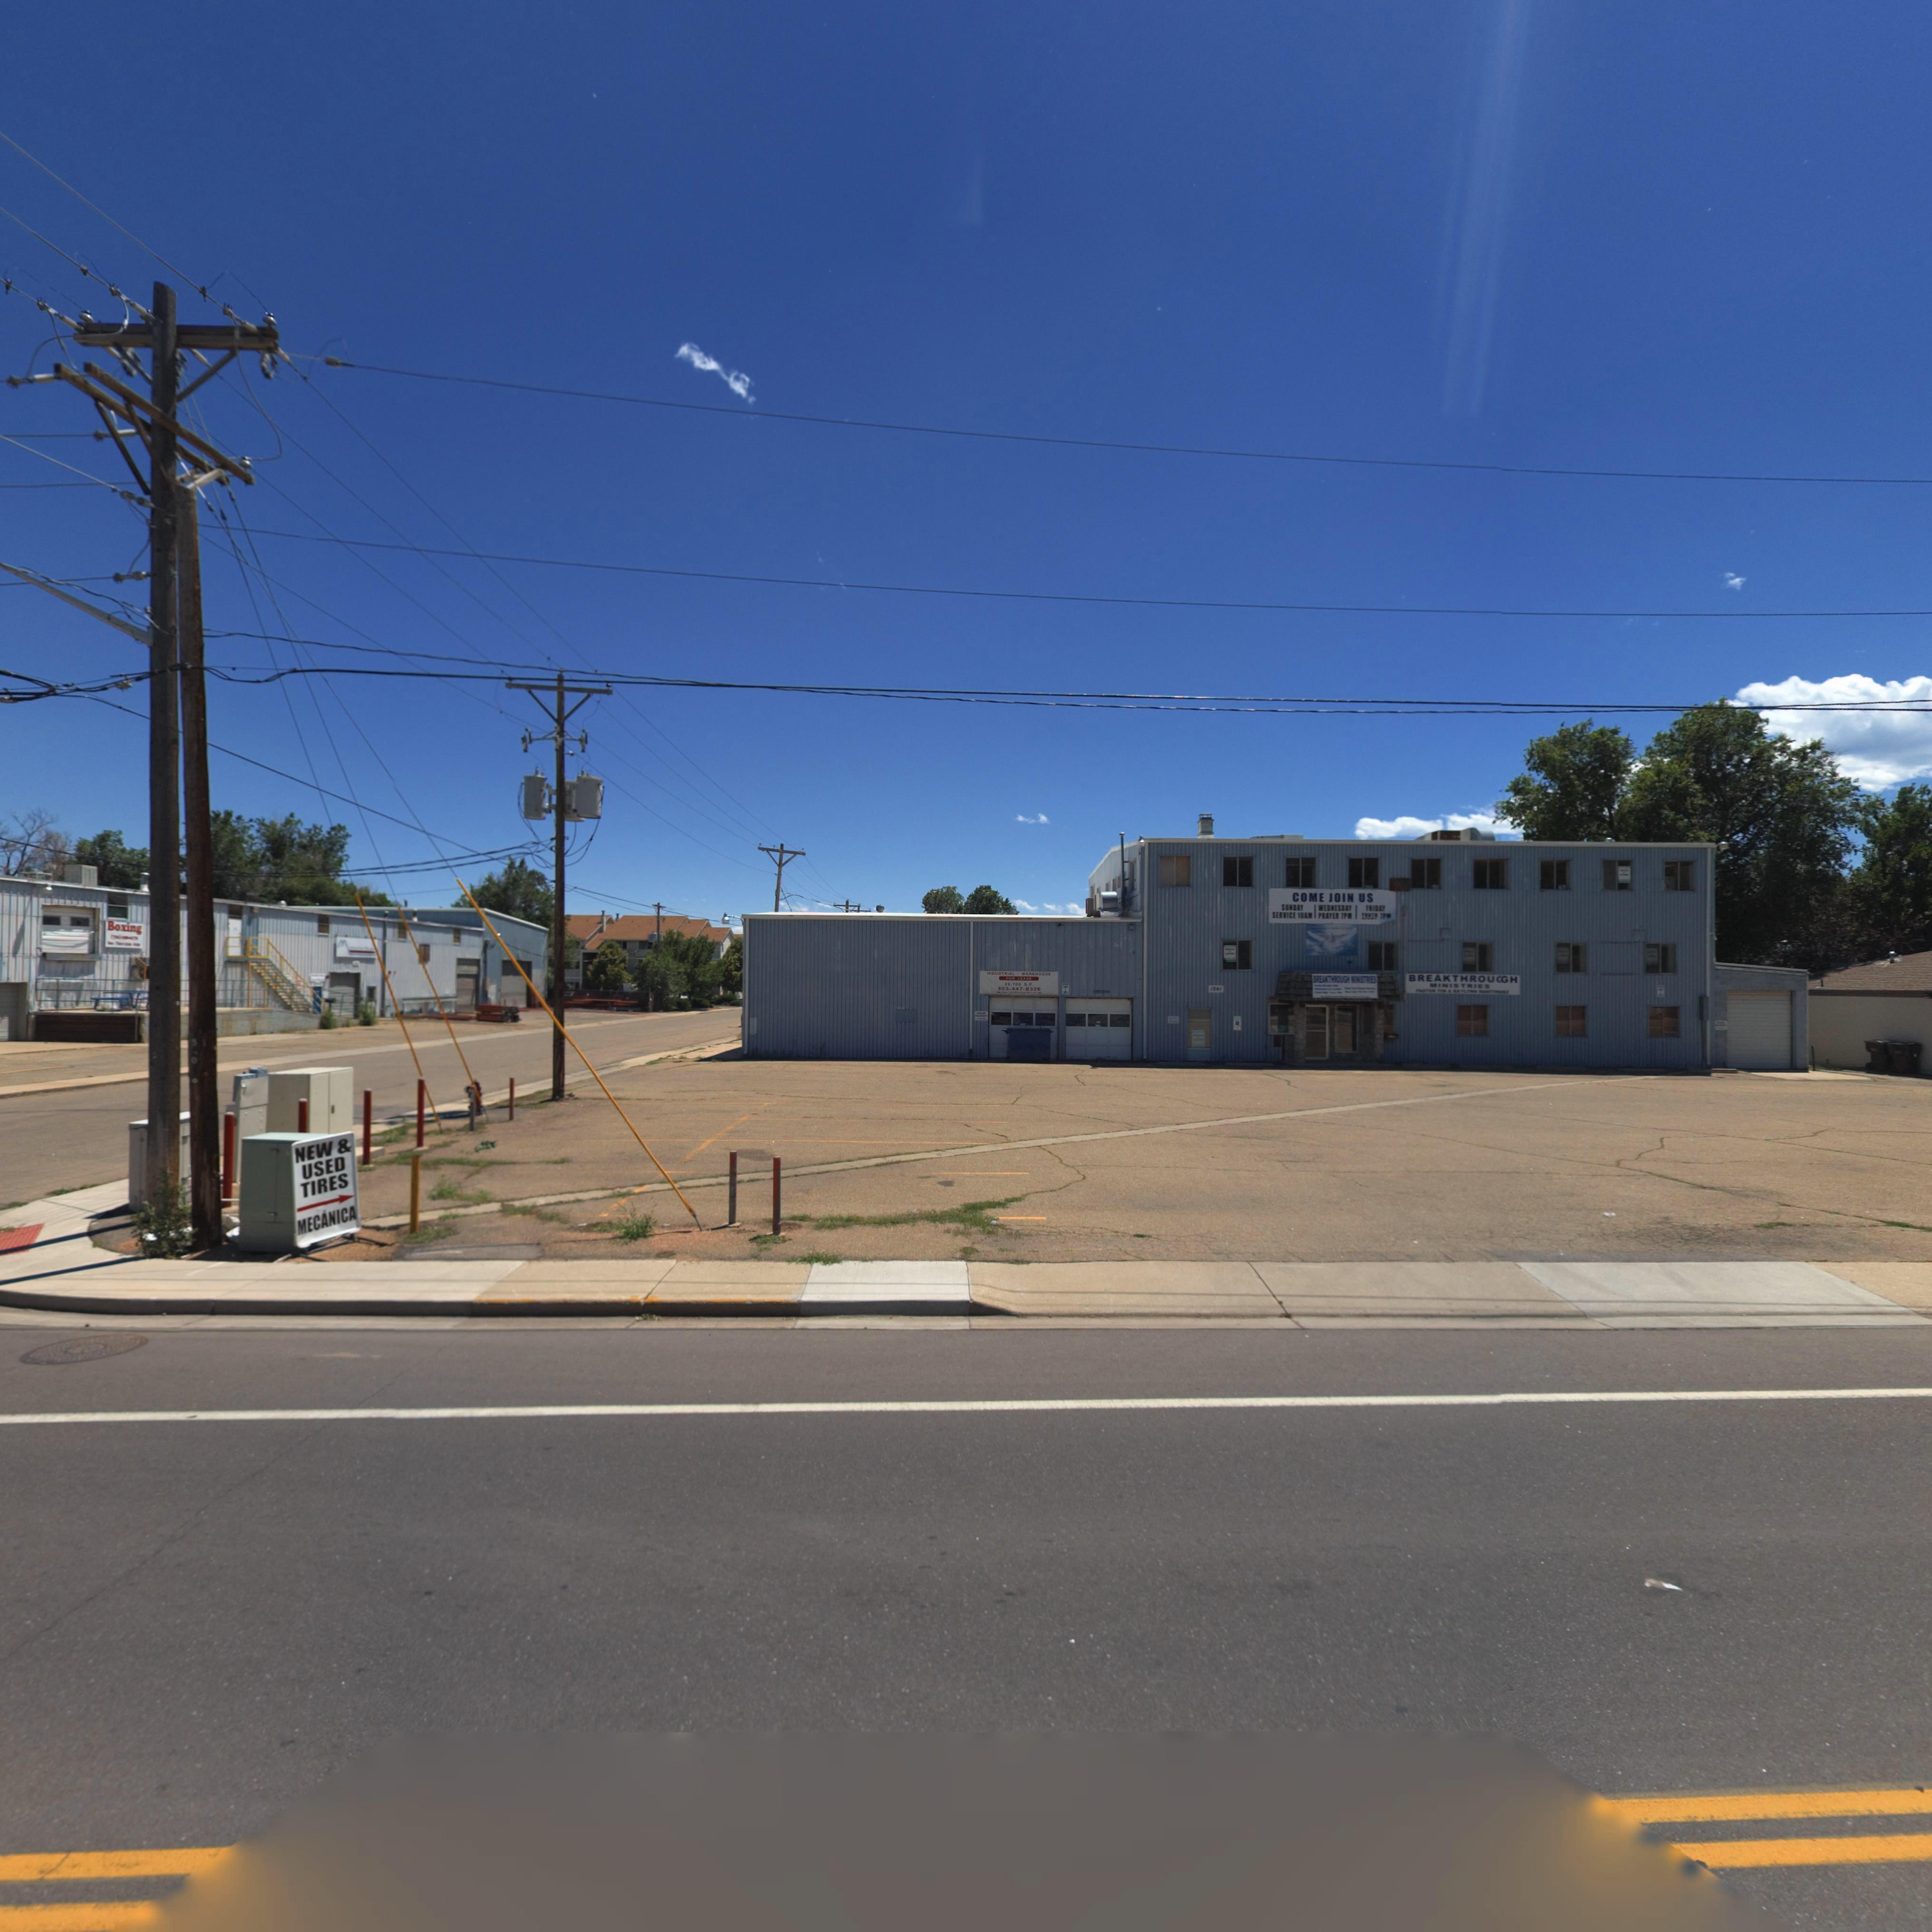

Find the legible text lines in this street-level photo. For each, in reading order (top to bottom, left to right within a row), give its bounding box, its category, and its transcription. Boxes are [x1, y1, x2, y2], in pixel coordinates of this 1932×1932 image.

[337, 939, 348, 948] BusinessName: M
[1313, 975, 1376, 984] BusinessName: BREAKTHROUGH MINISTRIES
[1408, 974, 1517, 983] BusinessName: BREAKTHROU*GH
[1209, 986, 1222, 991] StreetNumber: 12**
[1429, 982, 1489, 989] BusinessName: MINISTRIES